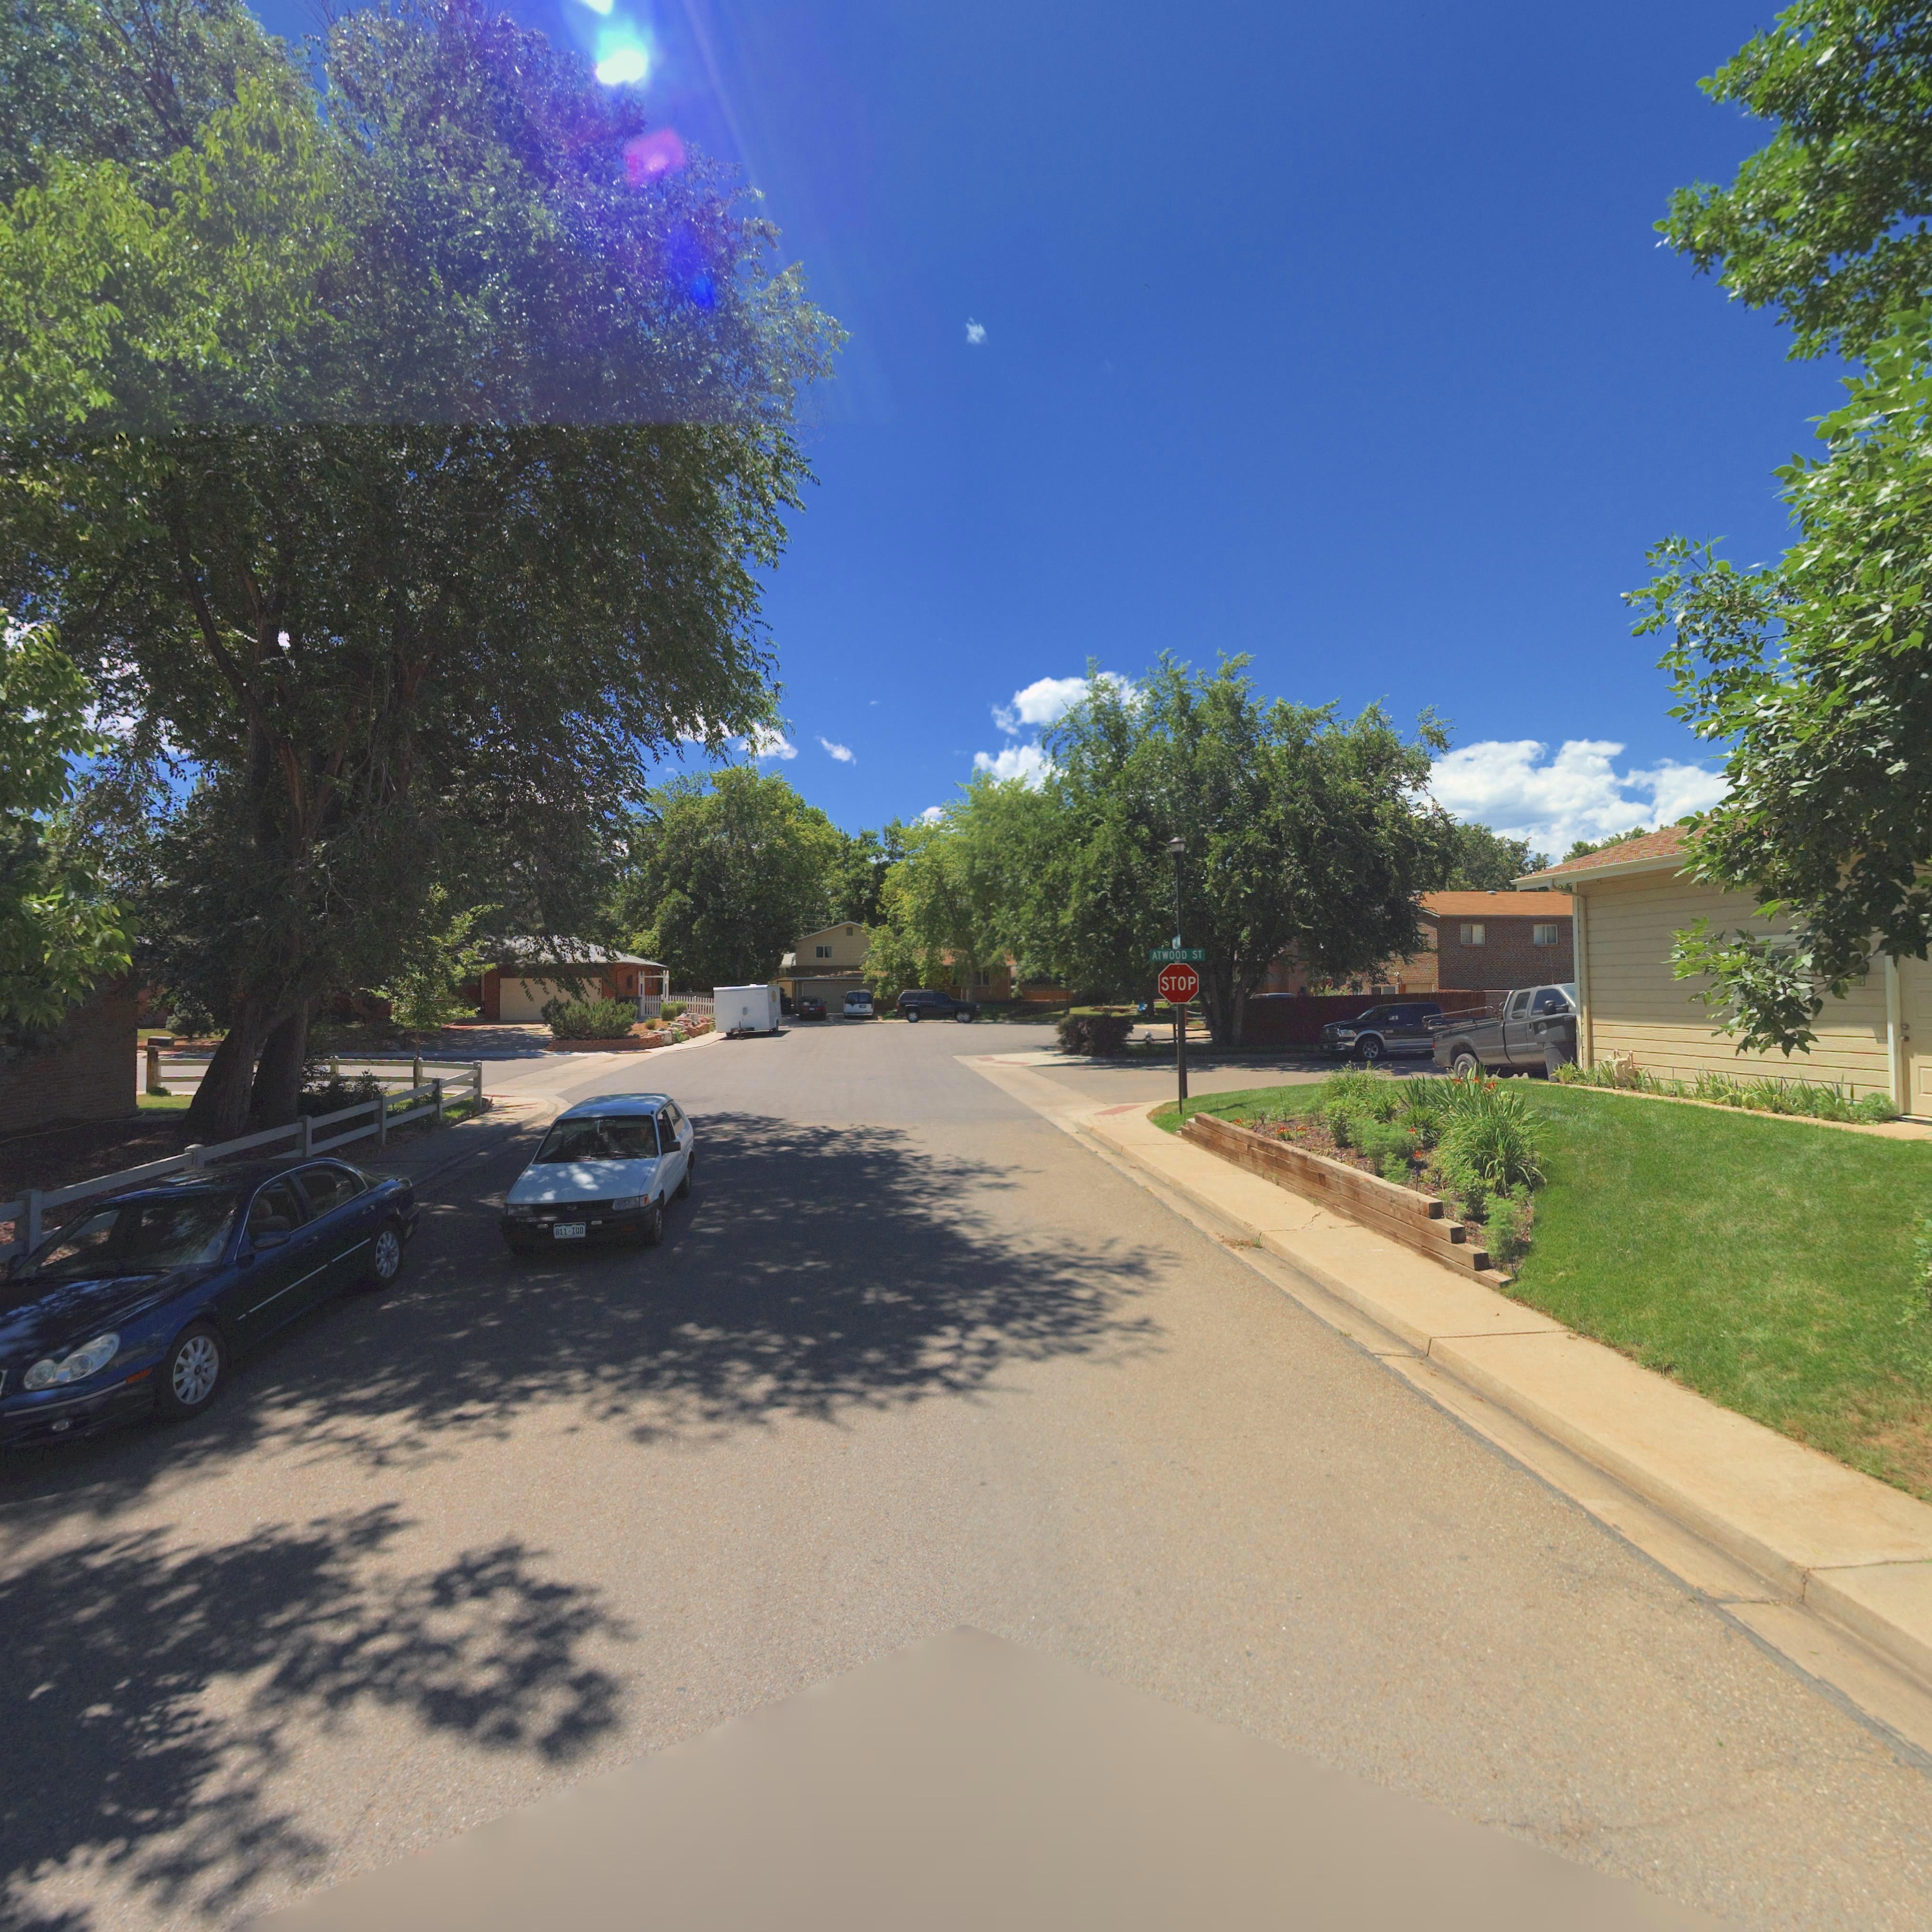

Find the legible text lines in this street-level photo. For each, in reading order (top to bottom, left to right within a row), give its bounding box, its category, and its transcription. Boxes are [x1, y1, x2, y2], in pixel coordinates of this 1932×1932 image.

[1152, 950, 1201, 959] StreetName: ATWOOD ST